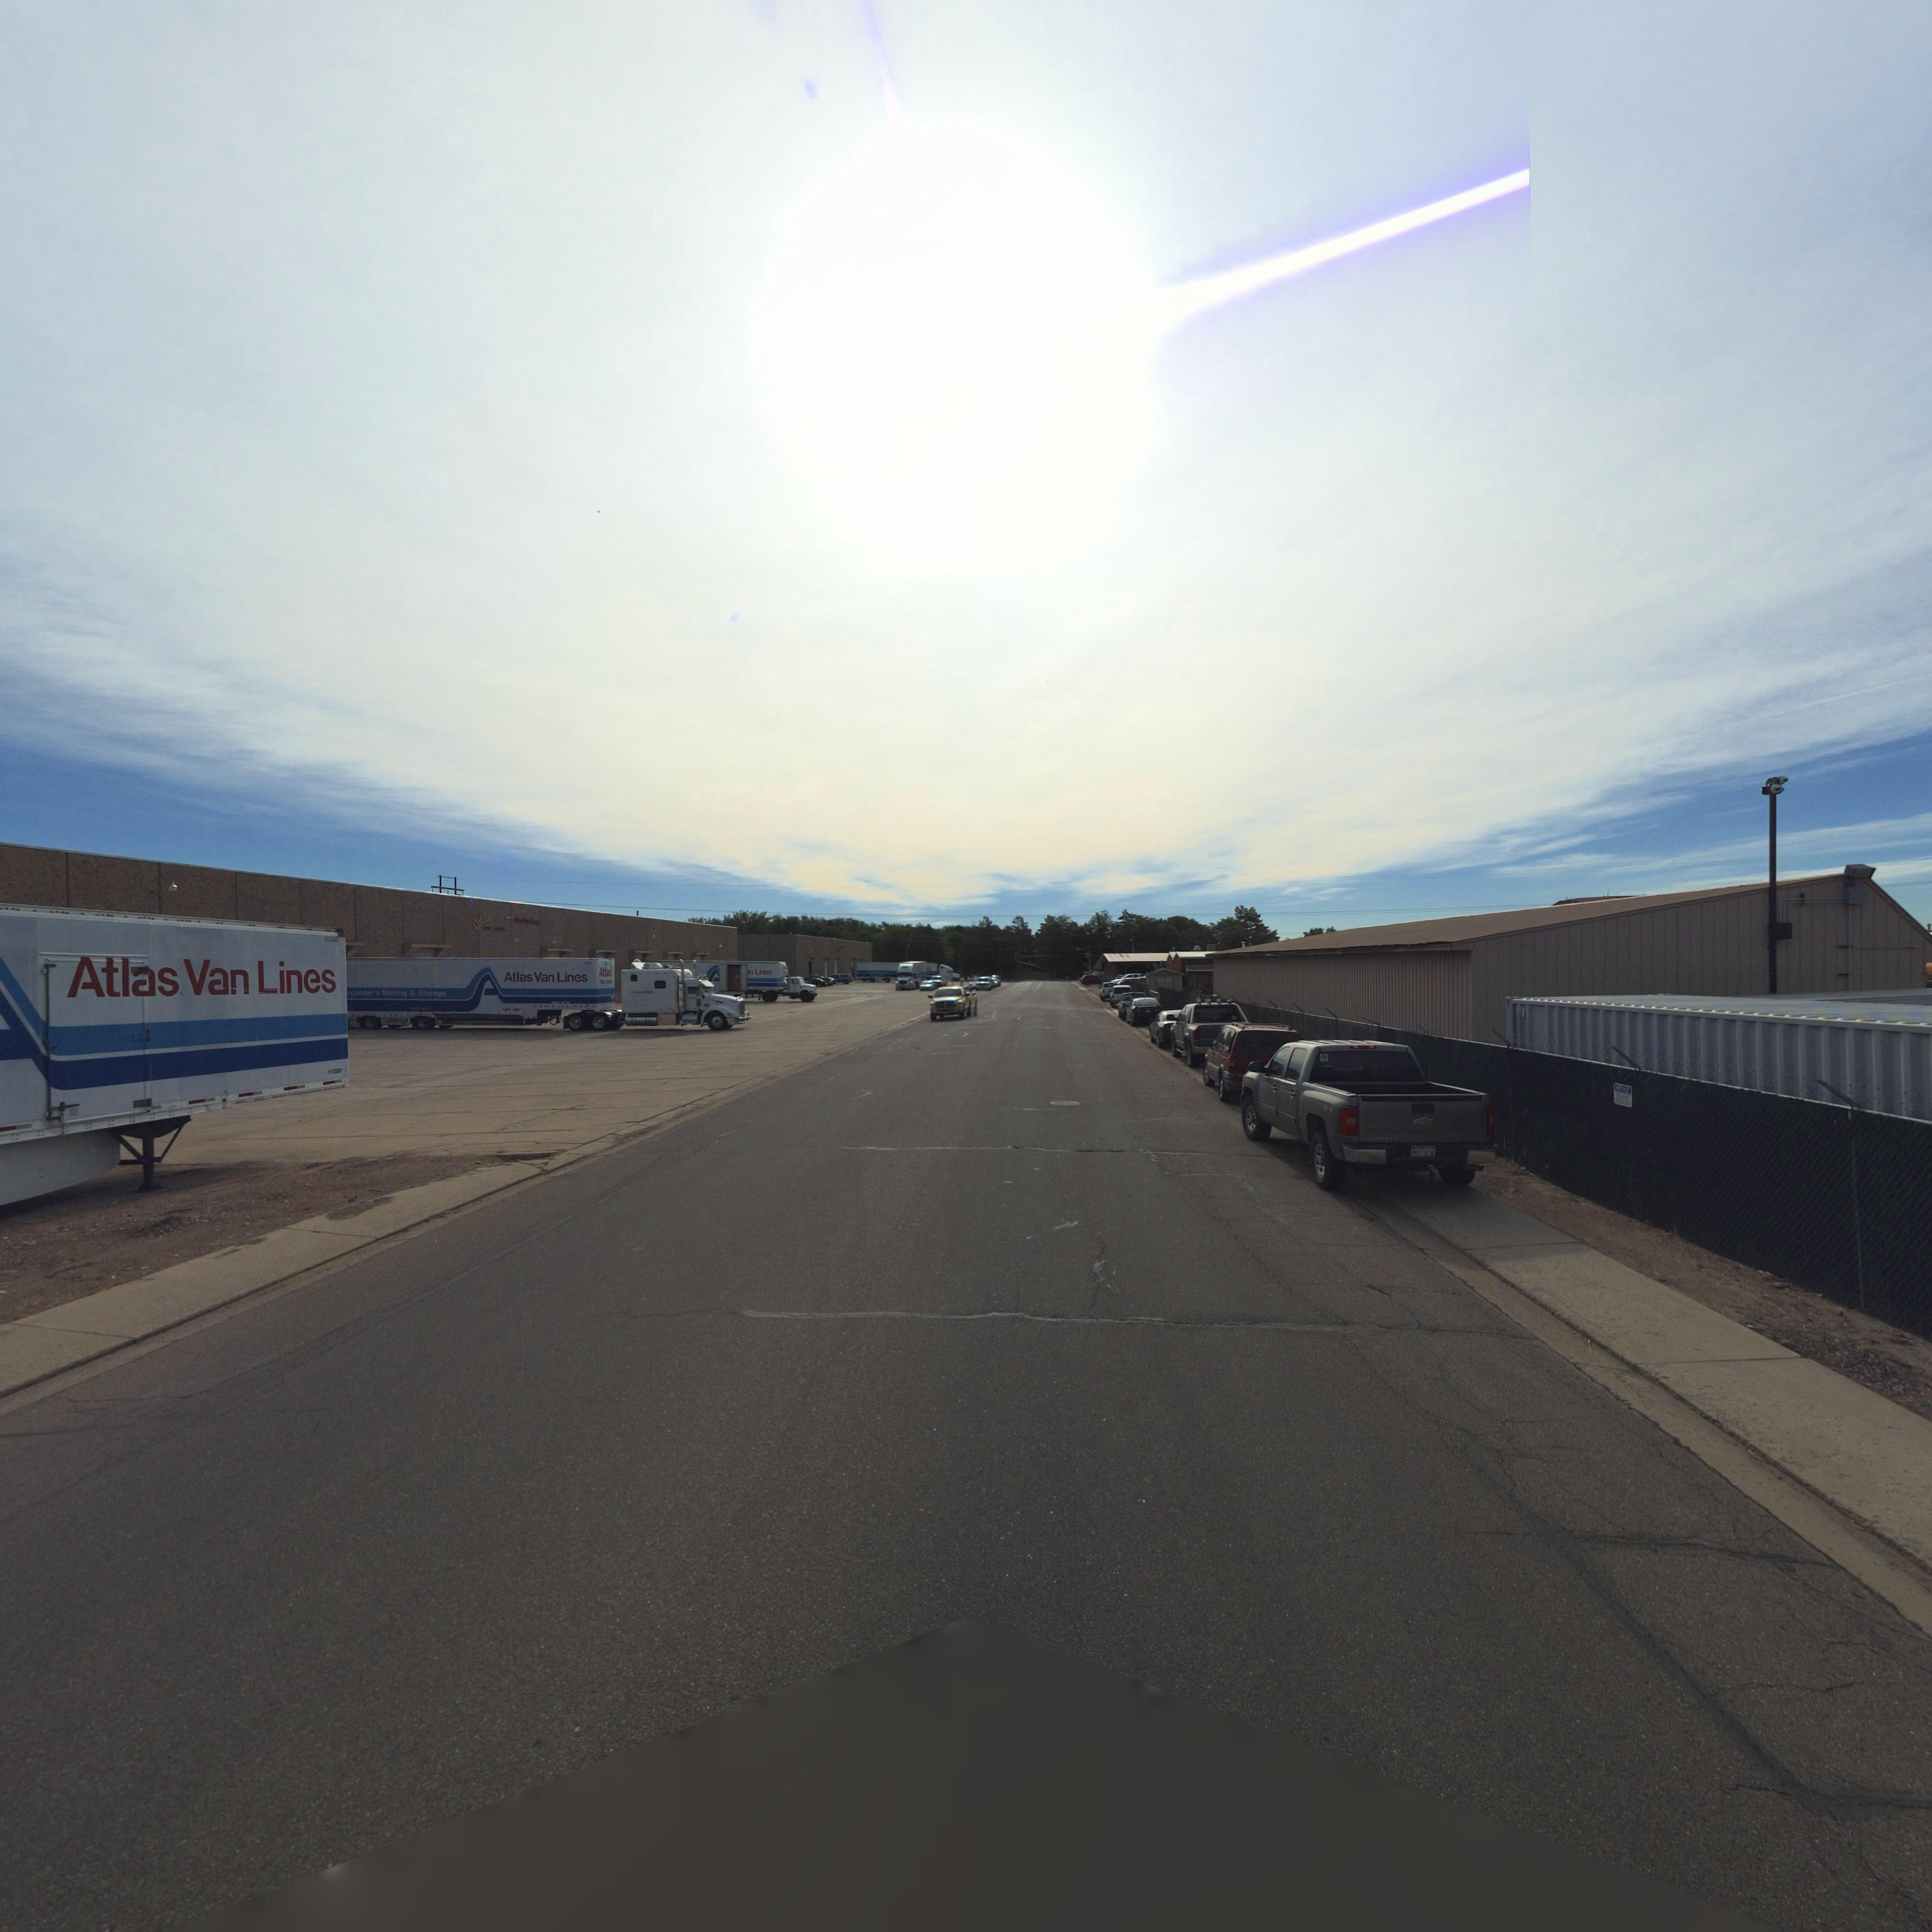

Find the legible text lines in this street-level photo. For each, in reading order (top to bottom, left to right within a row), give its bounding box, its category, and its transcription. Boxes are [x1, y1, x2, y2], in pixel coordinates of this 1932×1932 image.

[472, 913, 492, 934] BusinessName: g**den